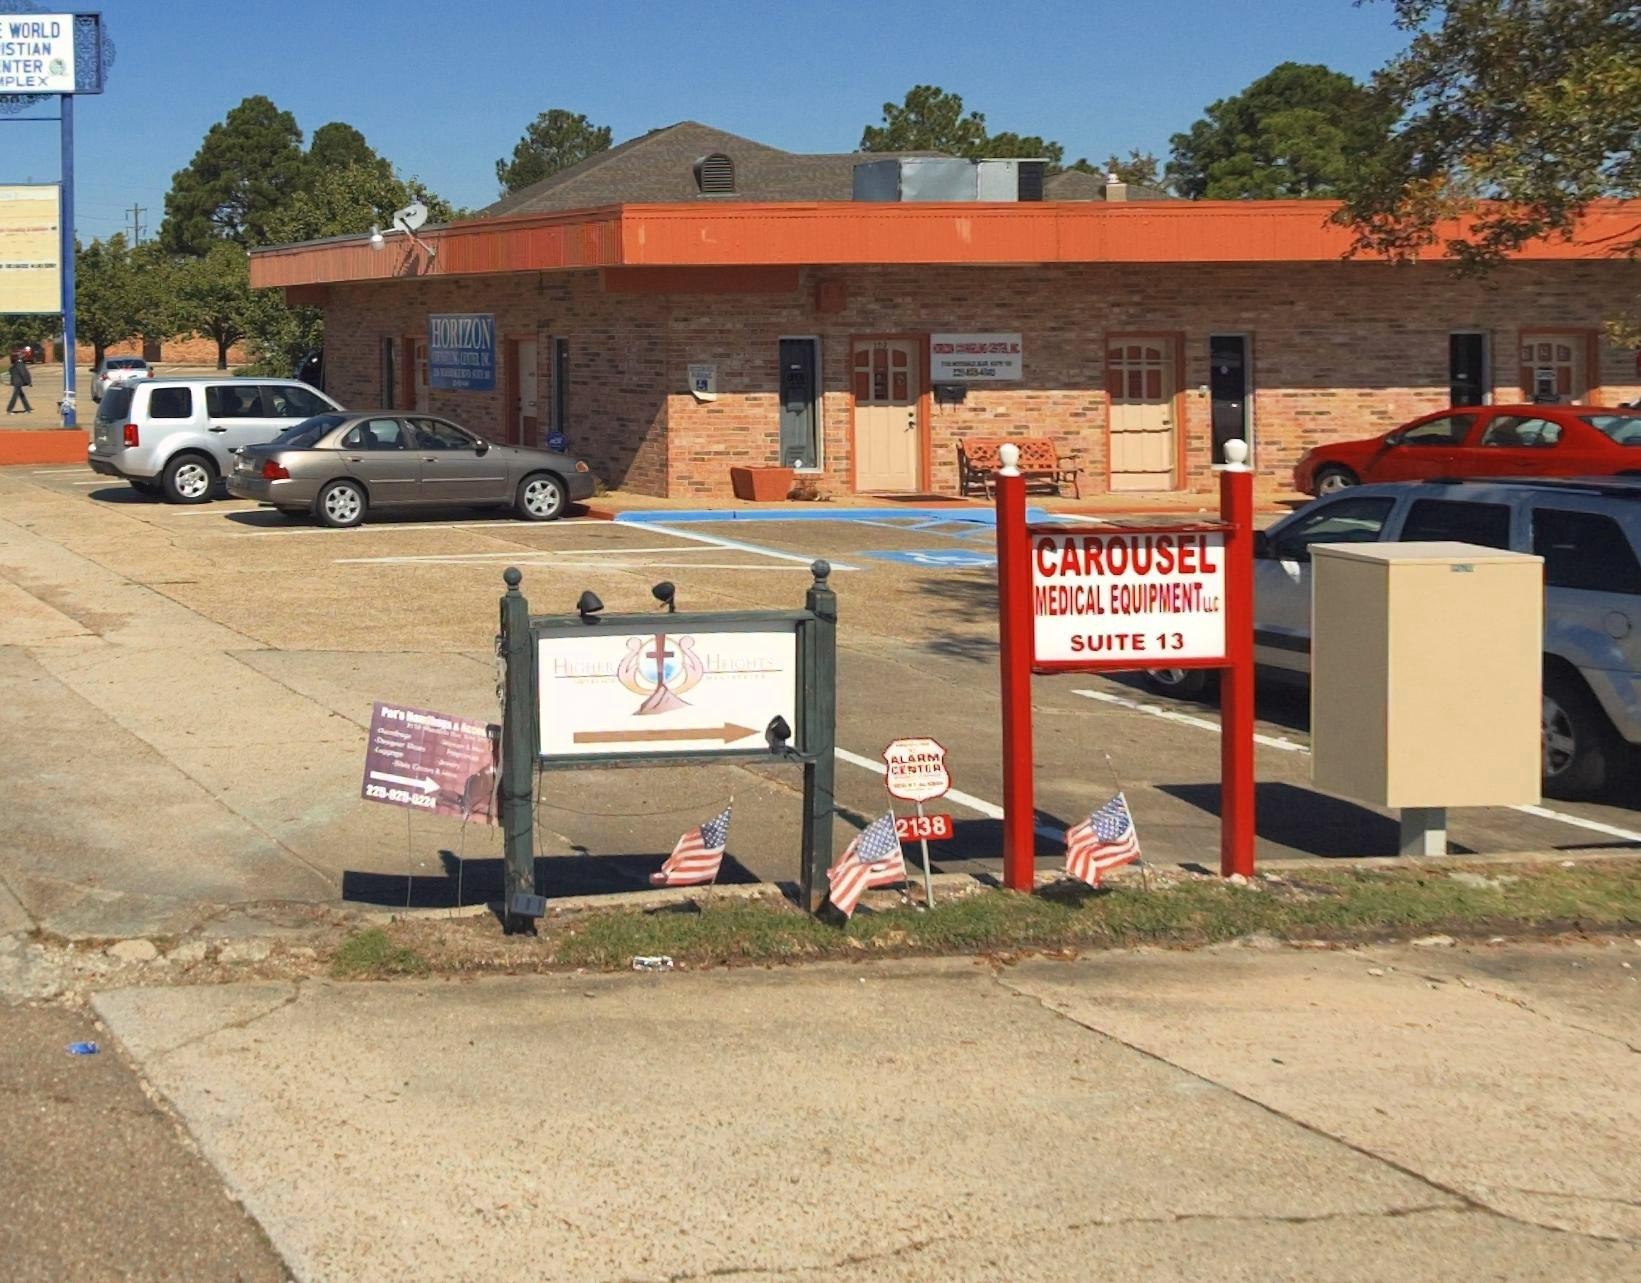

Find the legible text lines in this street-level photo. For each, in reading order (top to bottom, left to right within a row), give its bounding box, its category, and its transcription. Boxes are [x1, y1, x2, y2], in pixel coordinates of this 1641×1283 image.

[6, 19, 63, 41] BusinessName: WORLD
[0, 40, 55, 58] BusinessName: ISTIAN
[0, 56, 45, 75] BusinessName: NTER\
[4, 74, 51, 88] BusinessName: PLEX
[429, 315, 494, 352] BusinessName: HORIZON
[1033, 531, 1220, 581] BusinessName: CAROUSEL
[1033, 579, 1226, 618] BusinessName: MEDICAL EQUIPMENT LLC
[1067, 629, 1188, 655] SecondaryUnitDesignator: SUITE 13
[551, 648, 777, 677] BusinessName: Higher * Heights
[376, 702, 408, 726] None: Pat's
[889, 750, 943, 766] BusinessName: ALARM
[889, 760, 946, 778] BusinessName: CENTER
[361, 779, 438, 814] None: 22*-*2*-0224
[893, 813, 949, 840] StreetNumber: 2138